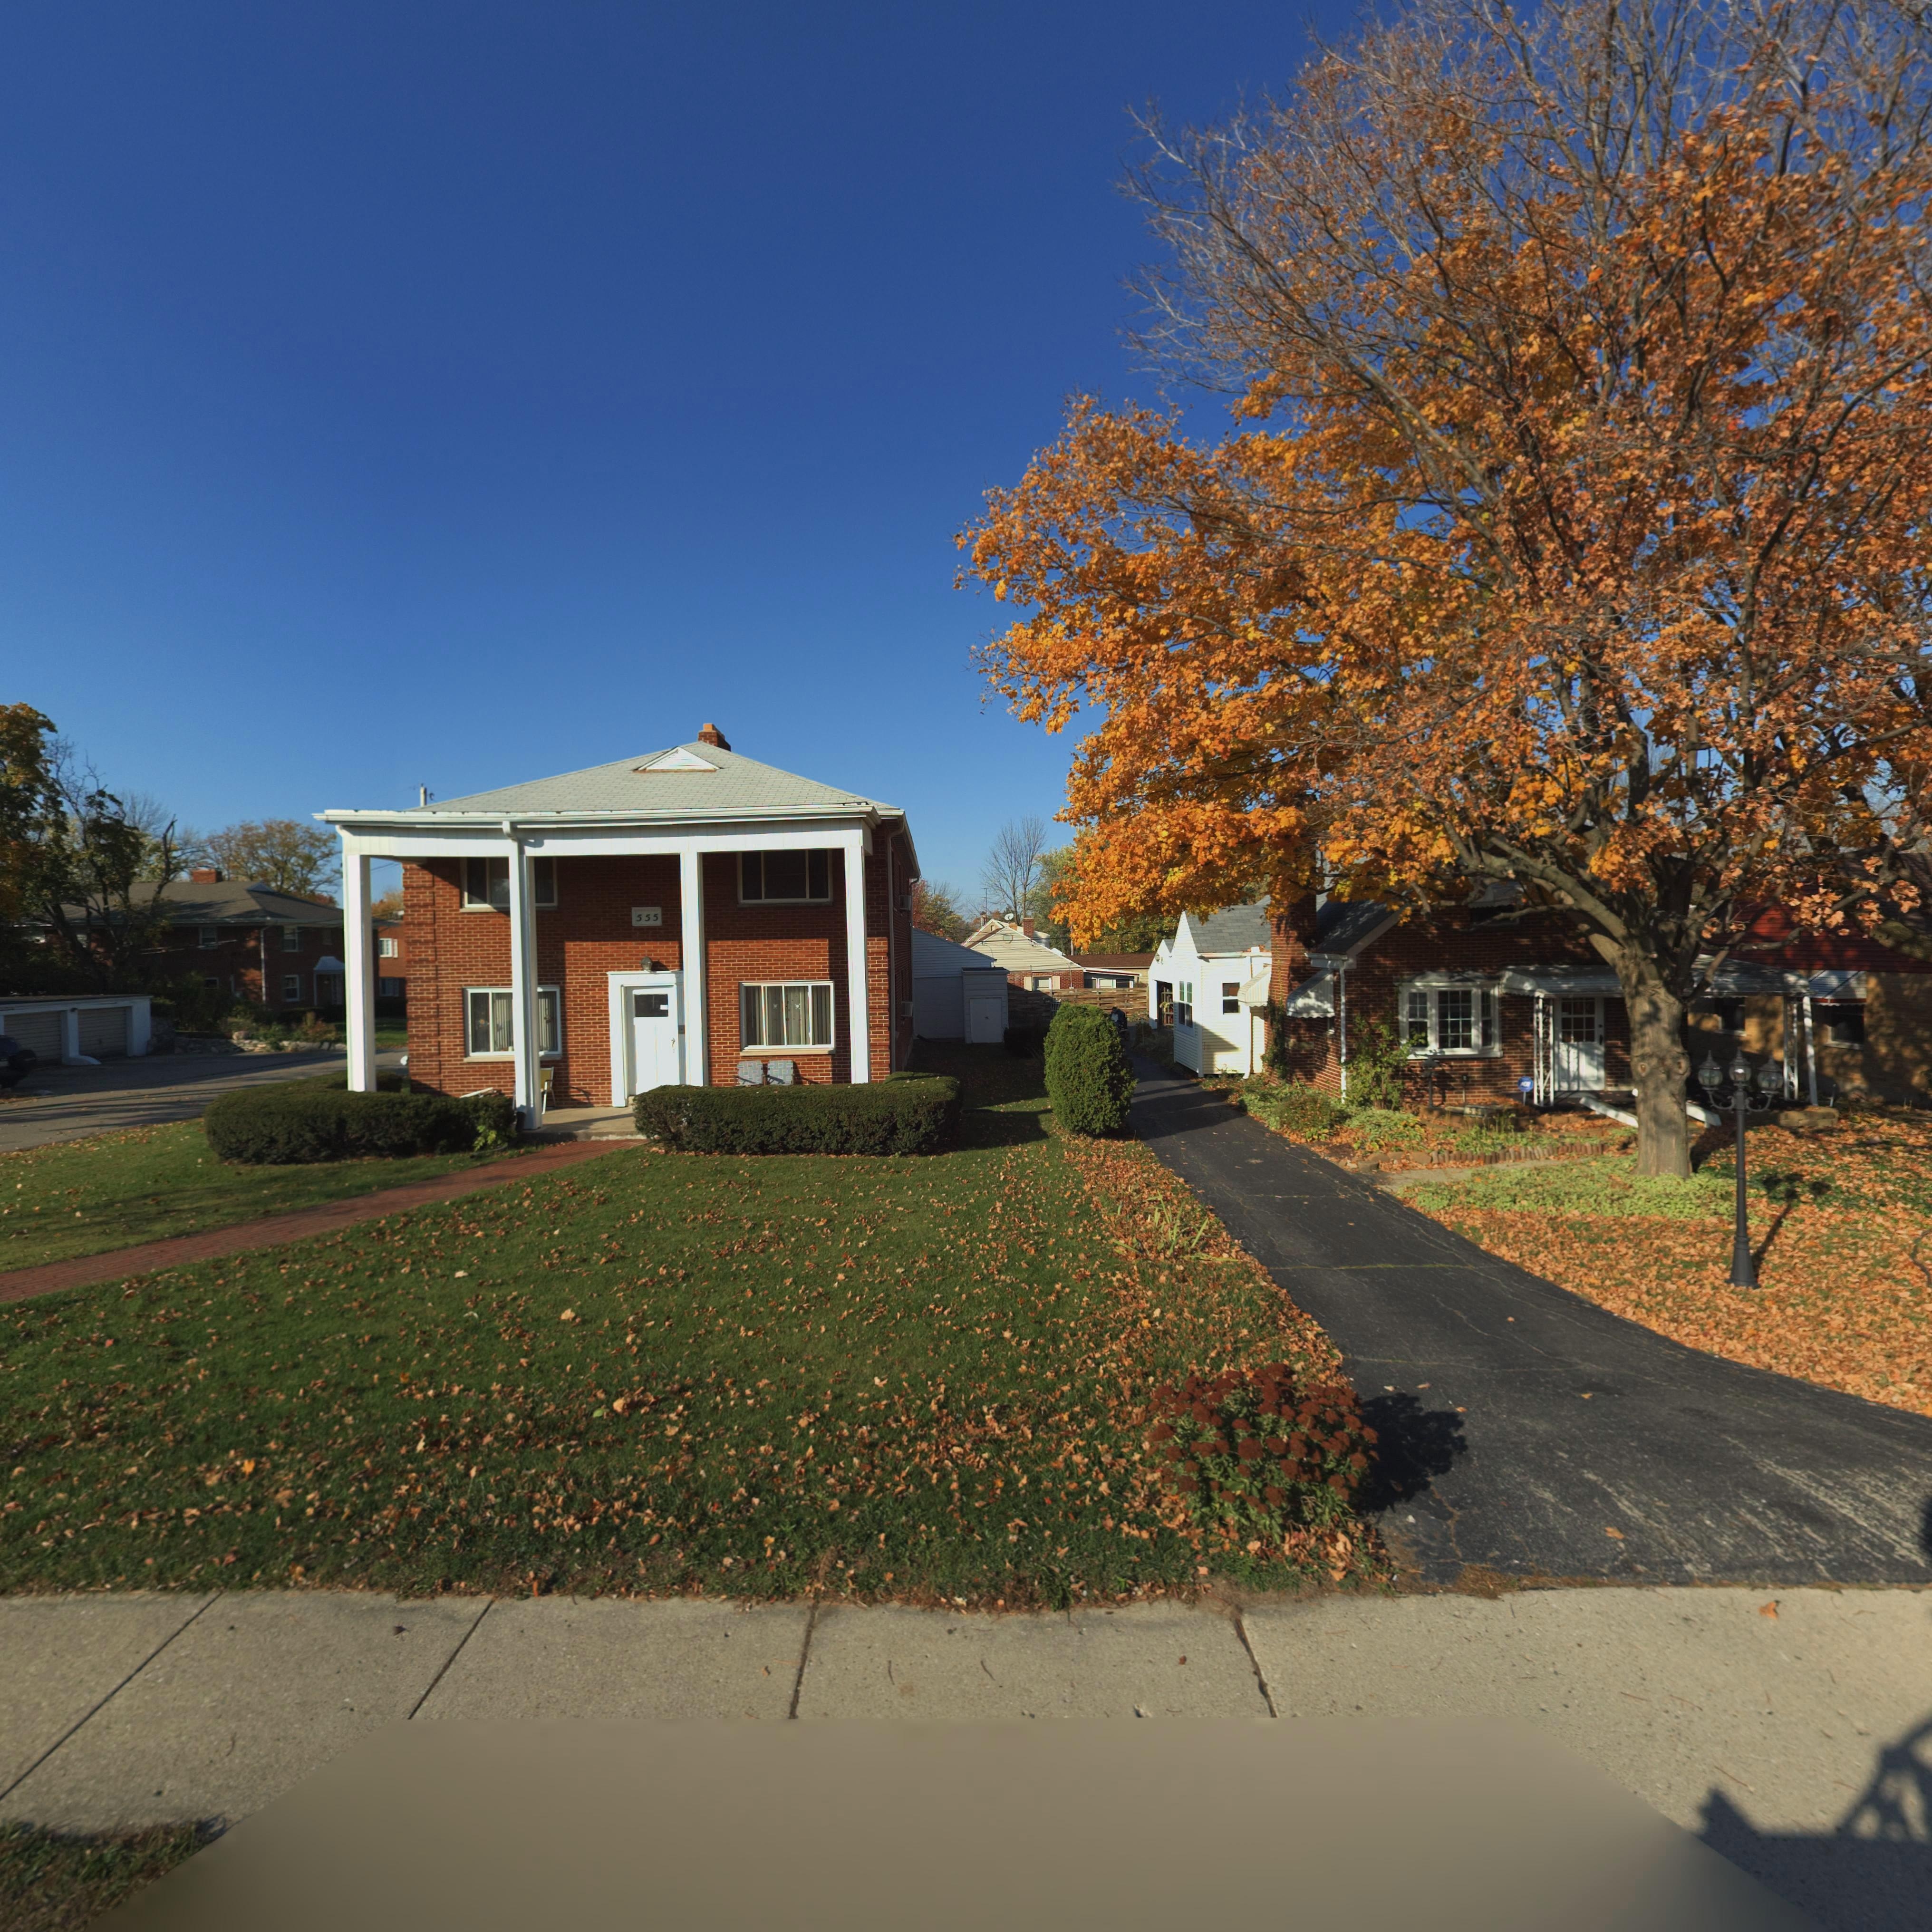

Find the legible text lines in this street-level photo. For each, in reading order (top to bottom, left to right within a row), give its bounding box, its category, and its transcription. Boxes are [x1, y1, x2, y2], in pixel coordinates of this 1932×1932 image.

[635, 913, 659, 922] StreetNumber: 555